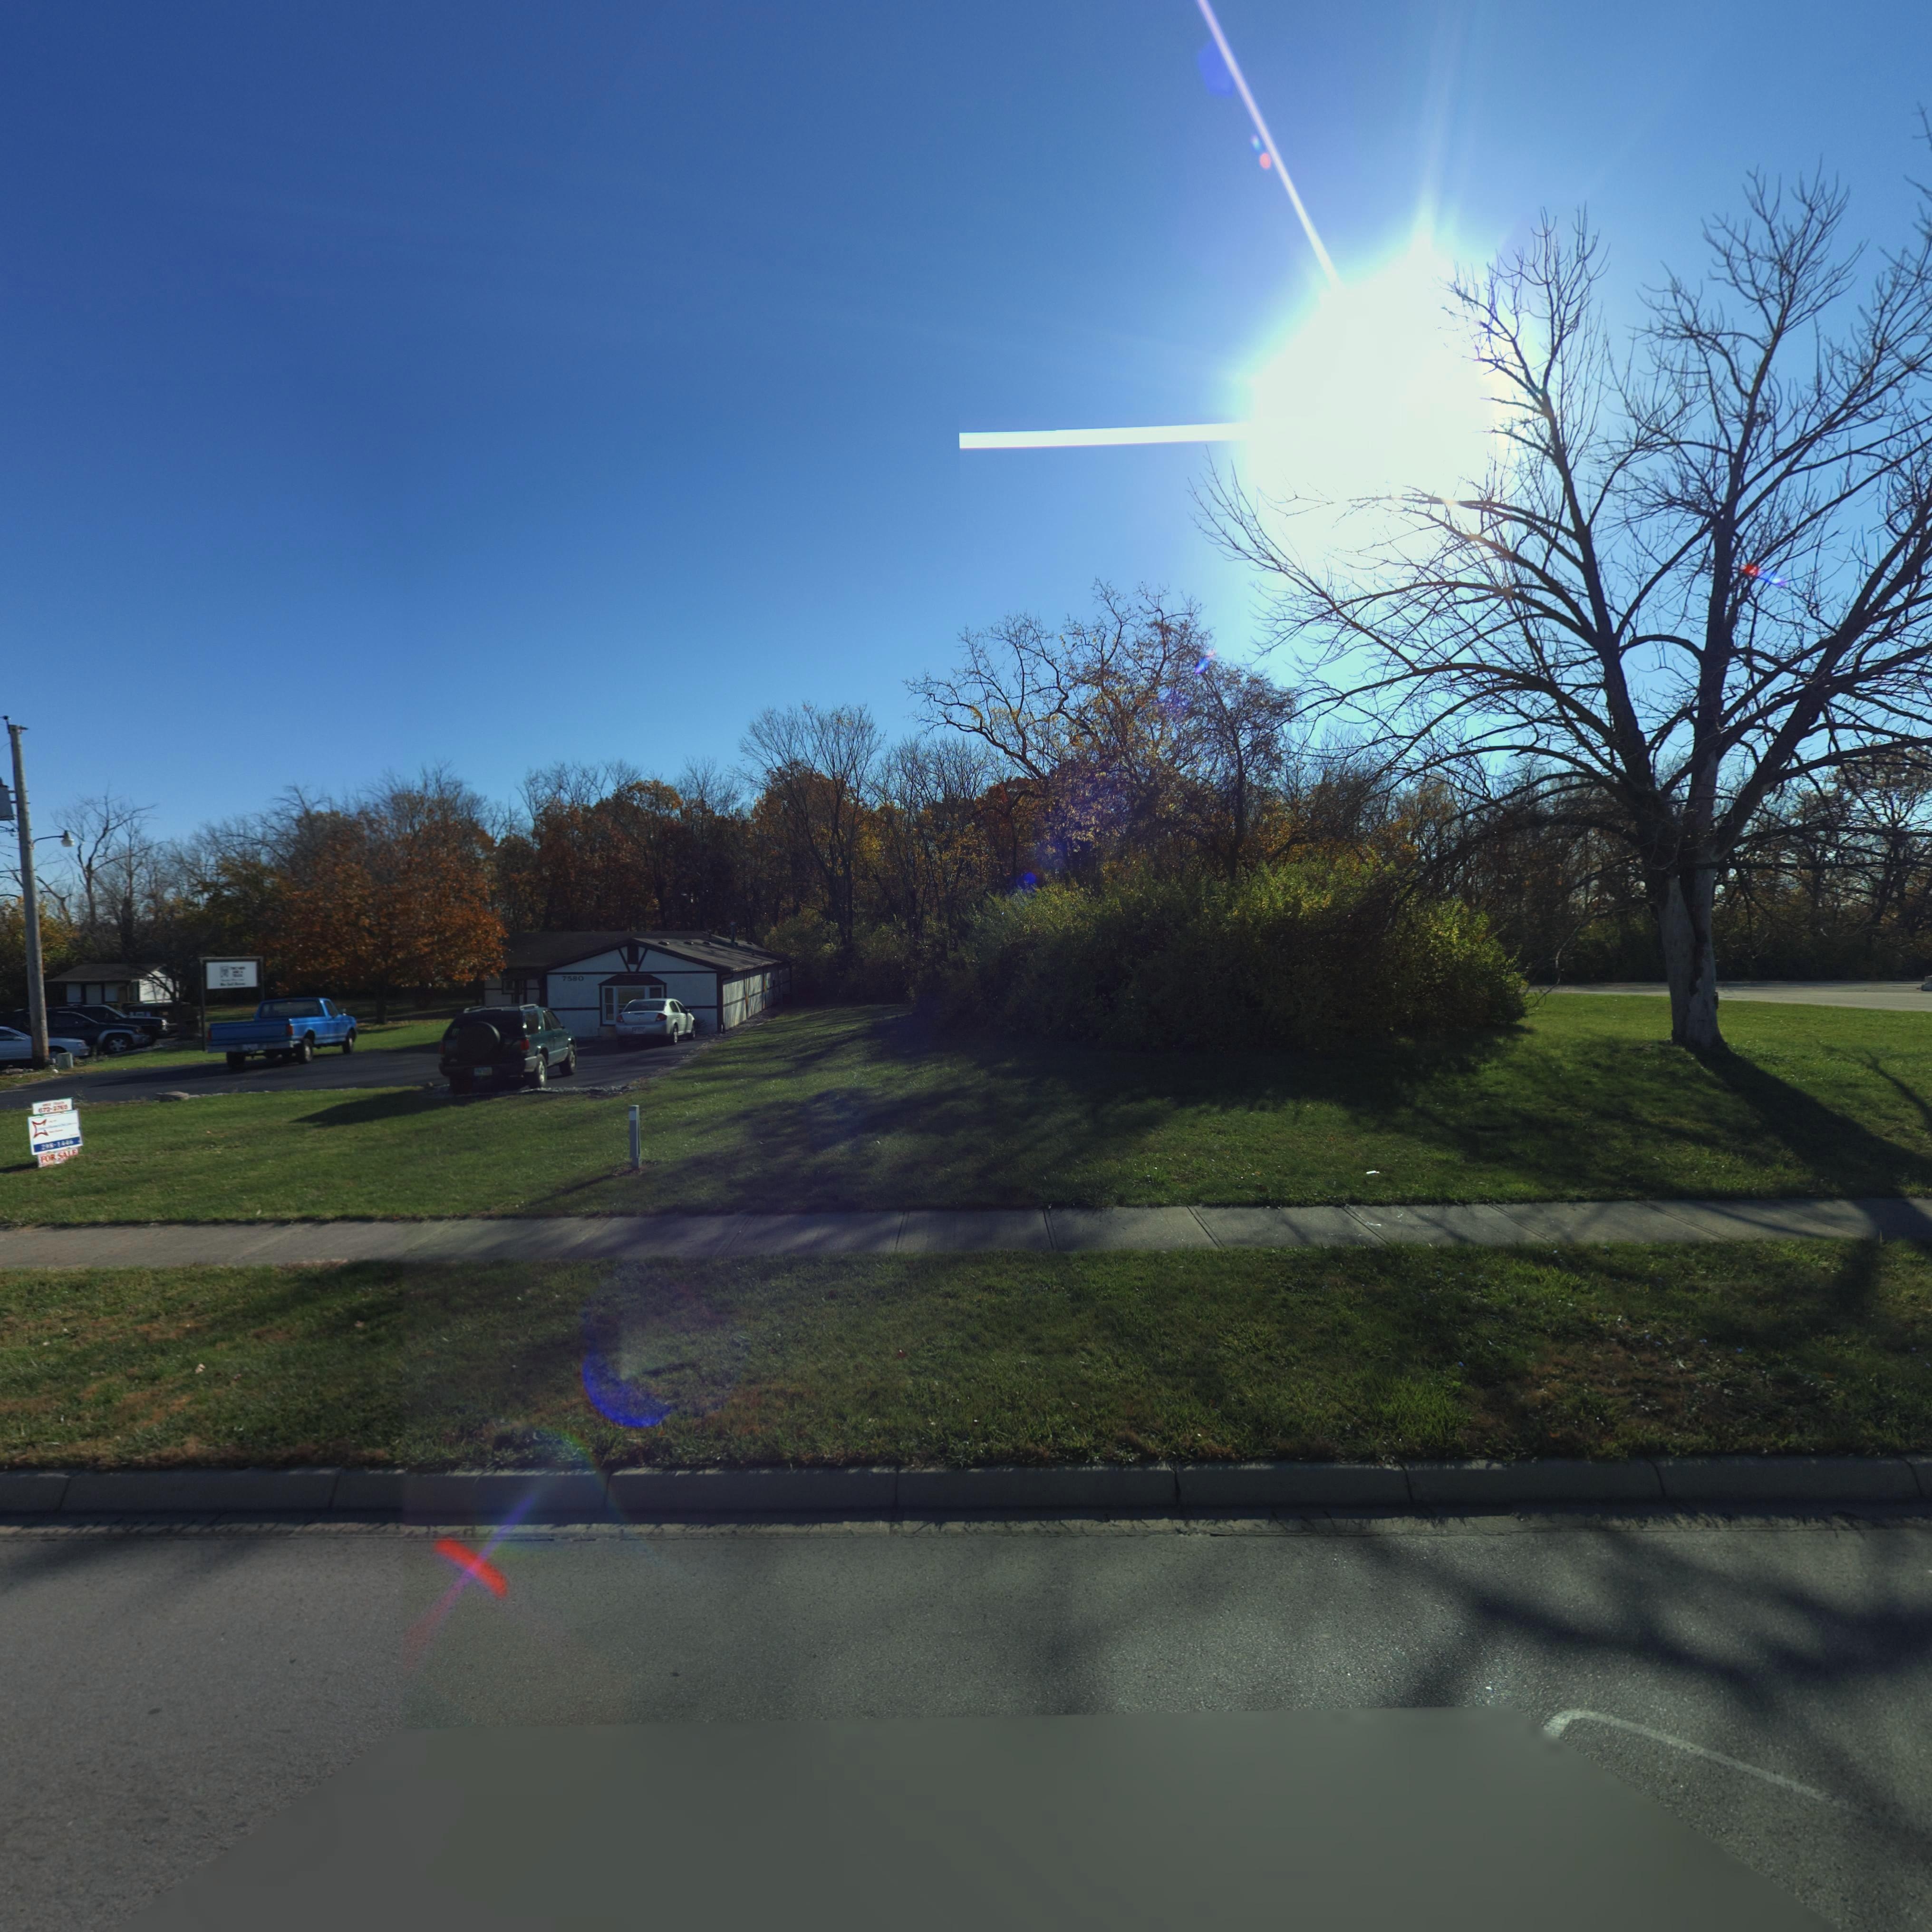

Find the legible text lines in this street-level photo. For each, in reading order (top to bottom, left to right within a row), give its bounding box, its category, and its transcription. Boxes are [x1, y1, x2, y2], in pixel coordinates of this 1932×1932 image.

[561, 975, 585, 983] StreetNumber: 7580